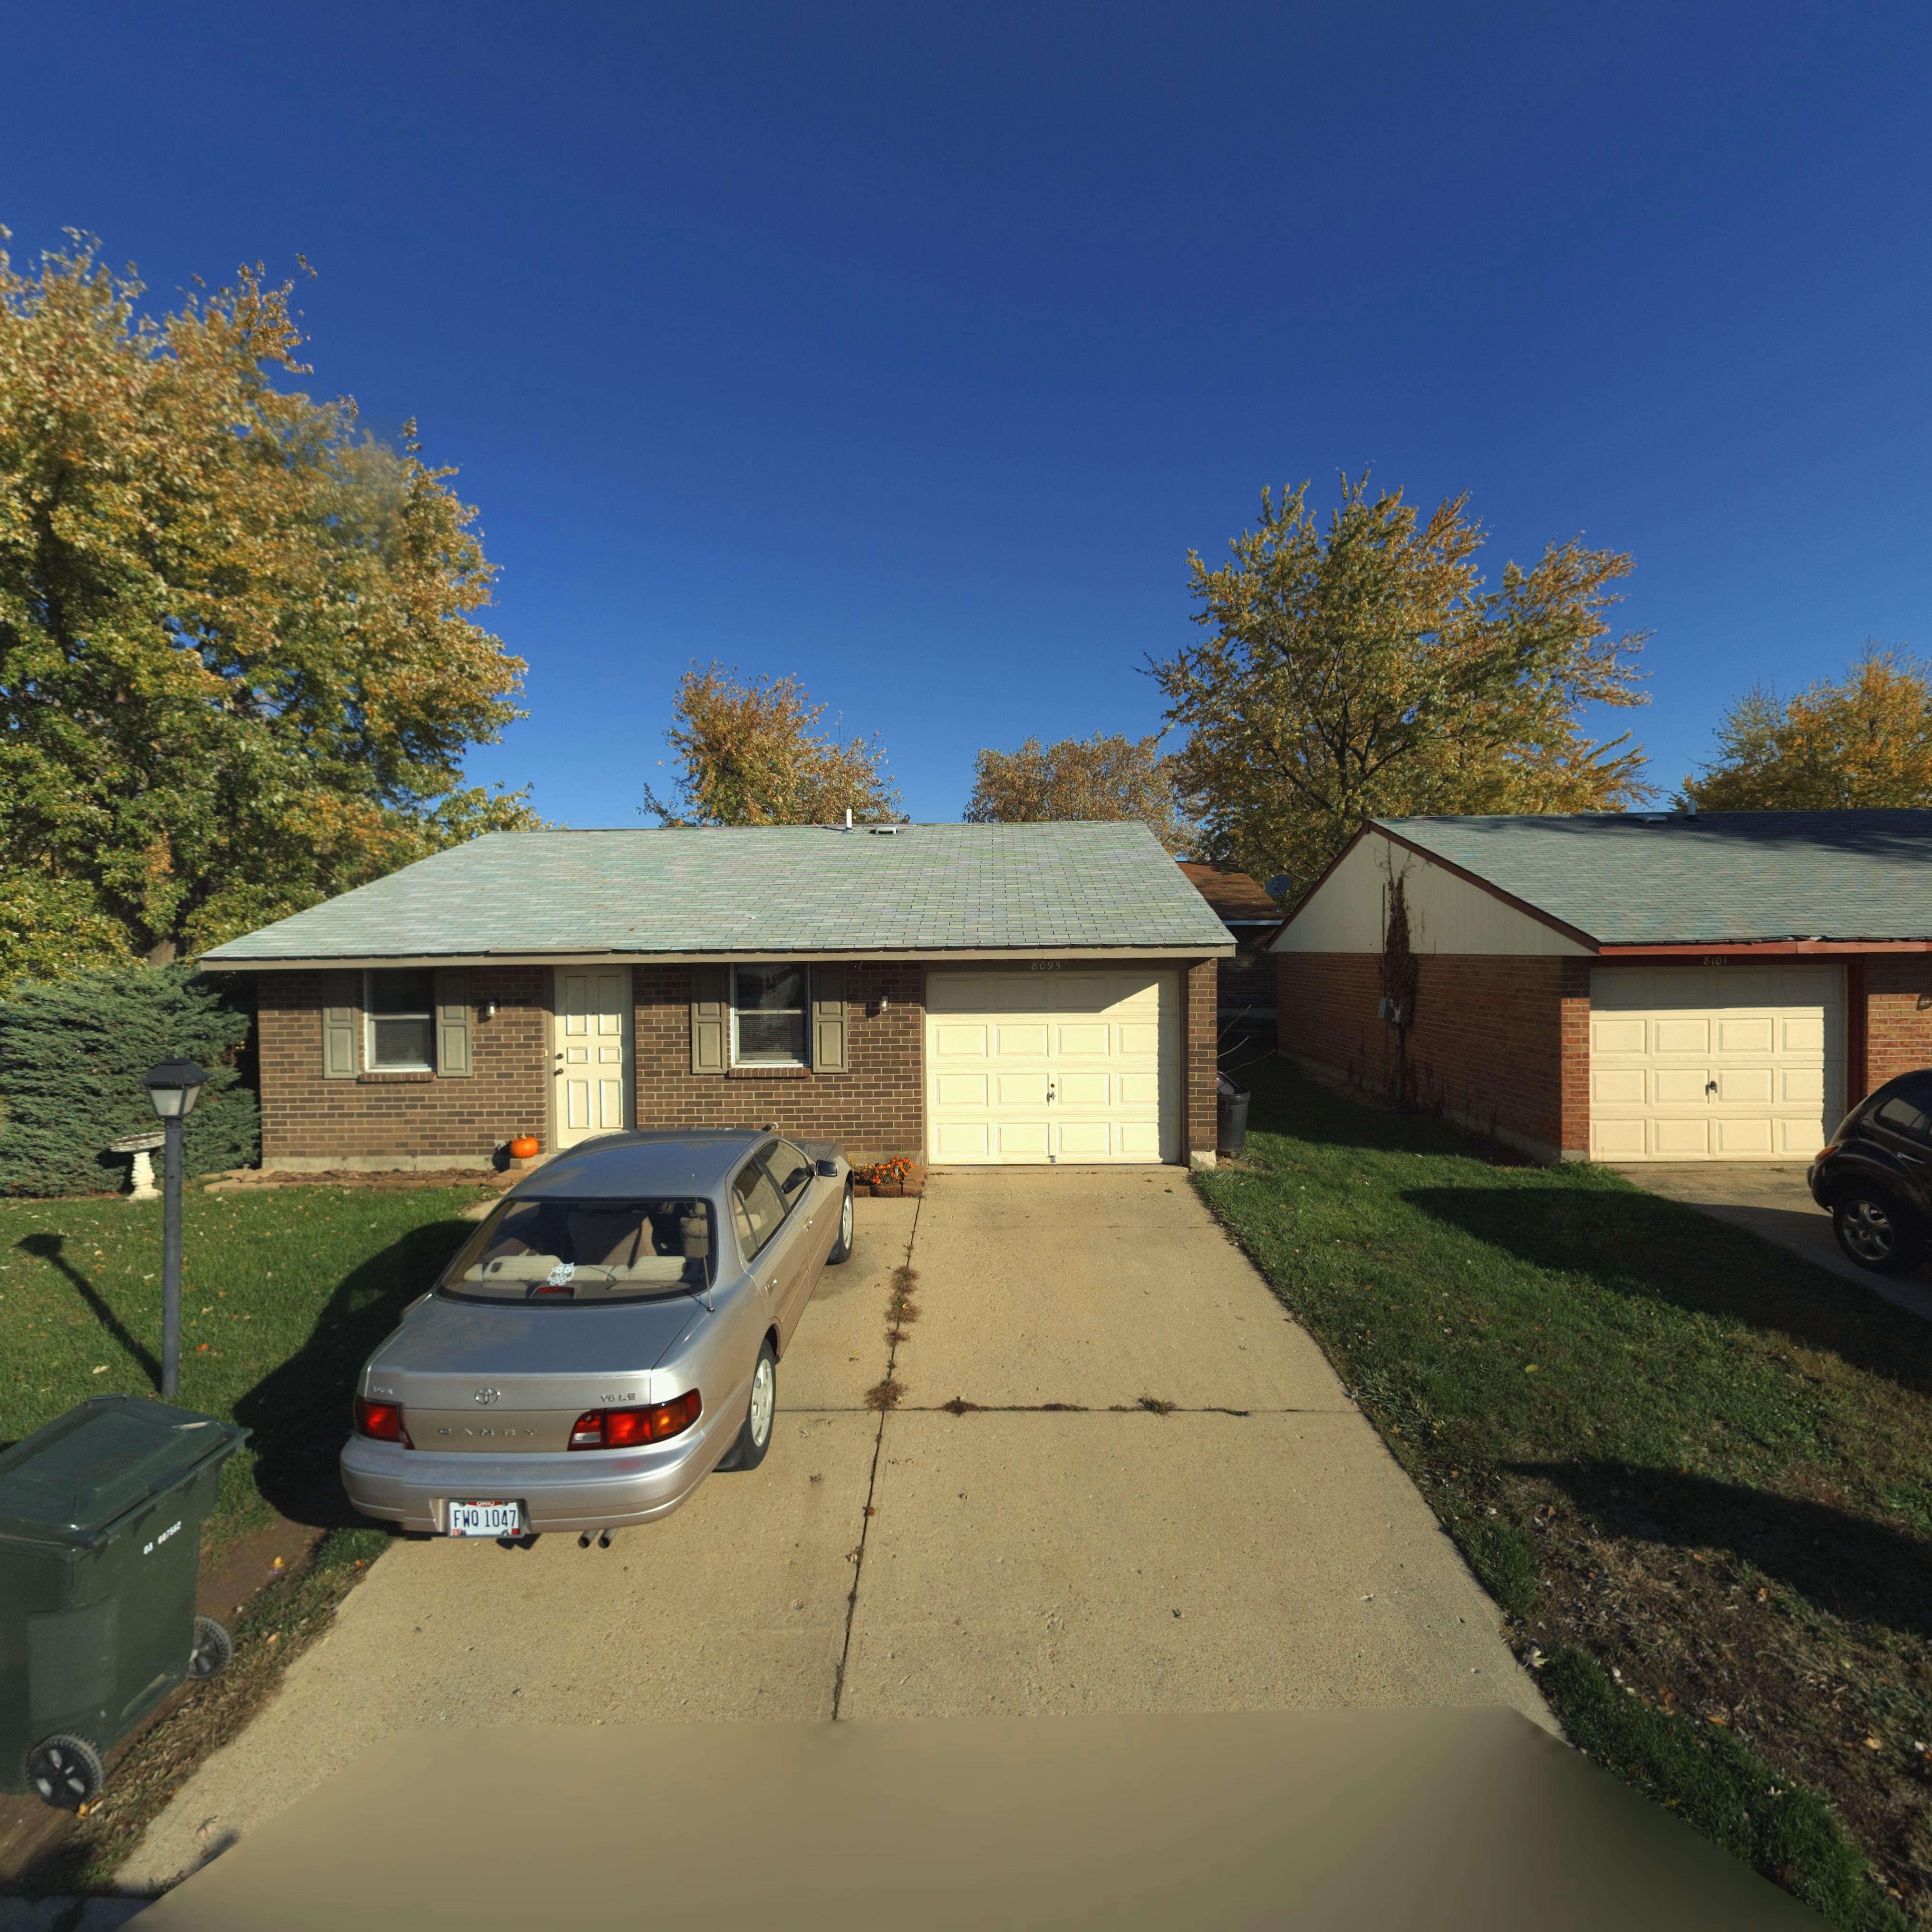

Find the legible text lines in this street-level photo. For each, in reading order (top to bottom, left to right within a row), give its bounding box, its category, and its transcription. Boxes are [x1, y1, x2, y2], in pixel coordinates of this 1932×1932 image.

[1030, 960, 1062, 972] StreetNumber: 8095
[1703, 954, 1729, 967] StreetNumber: 8101